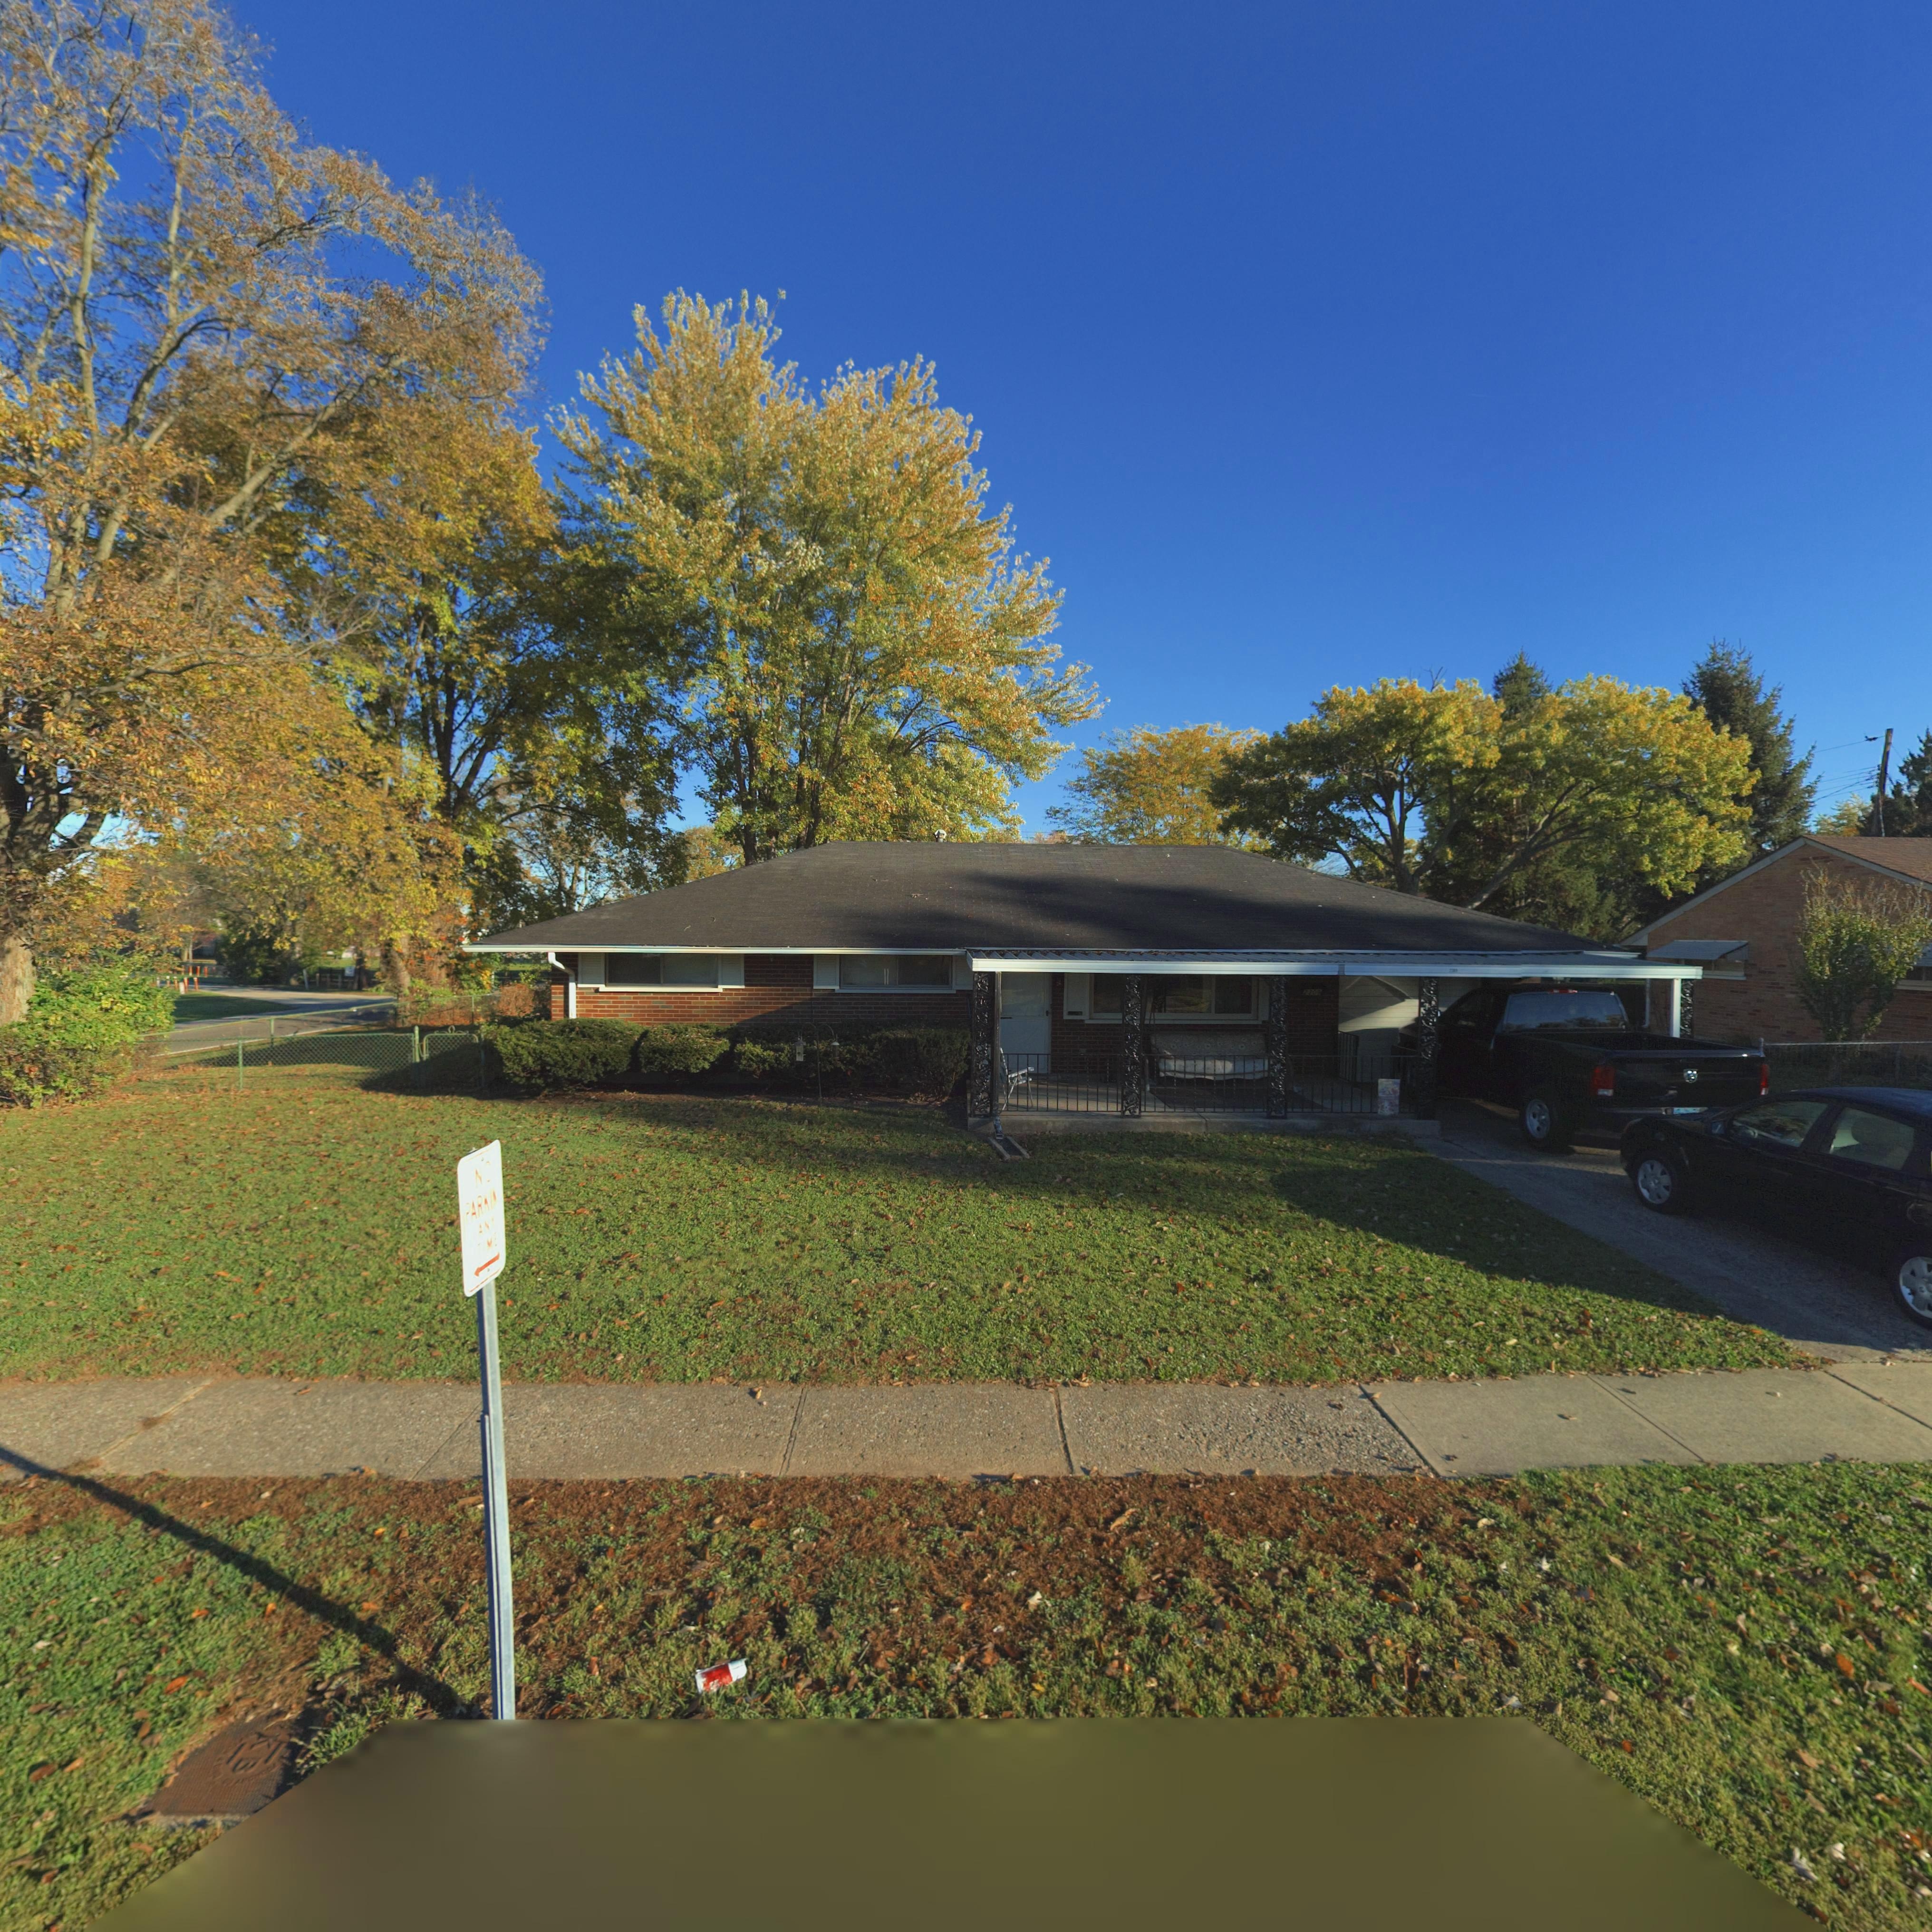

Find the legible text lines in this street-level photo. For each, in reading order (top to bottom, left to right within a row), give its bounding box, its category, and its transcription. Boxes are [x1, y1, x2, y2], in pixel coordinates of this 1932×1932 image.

[1303, 989, 1322, 996] StreetNumber: 2309